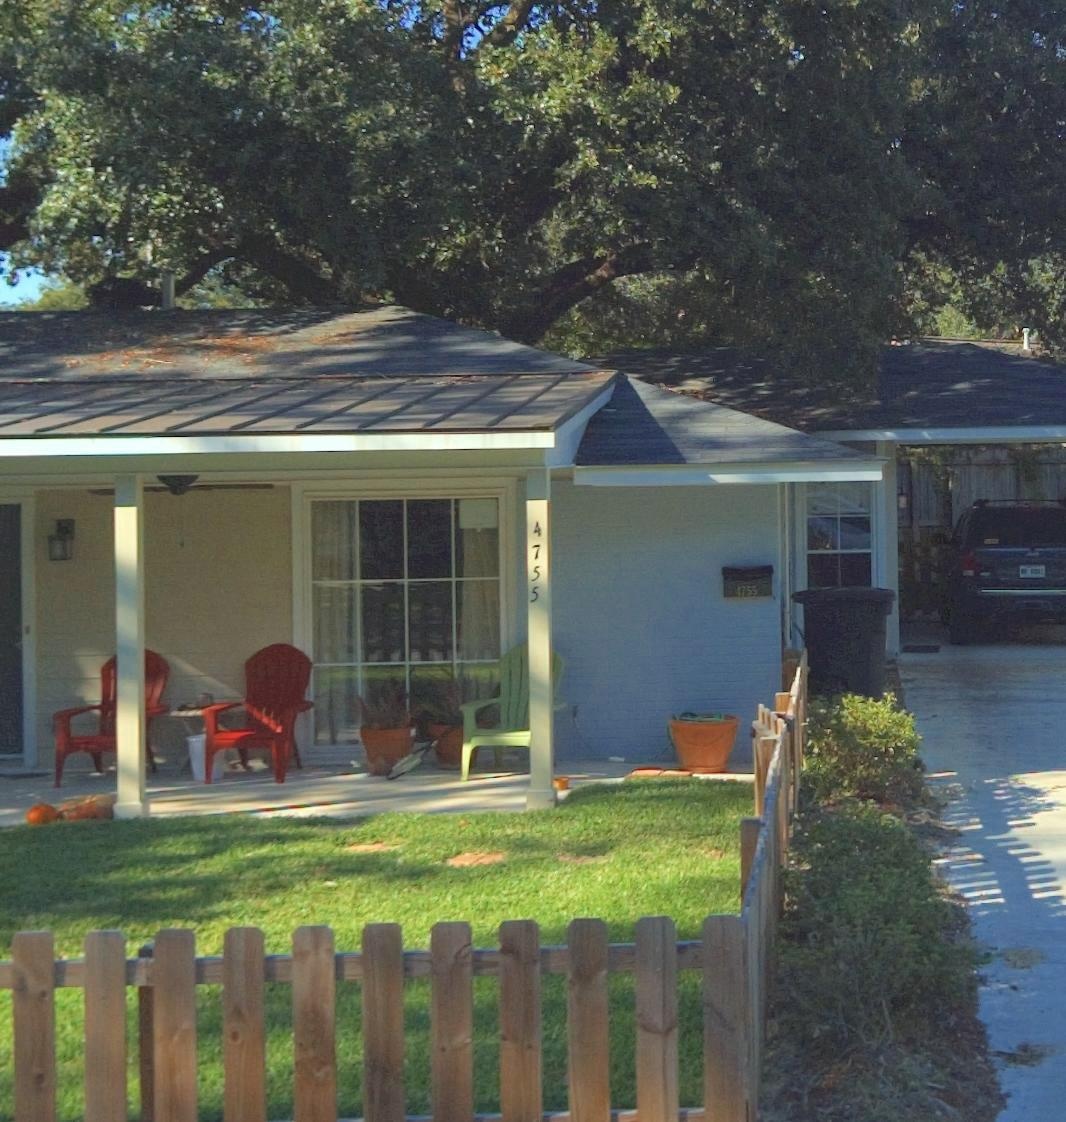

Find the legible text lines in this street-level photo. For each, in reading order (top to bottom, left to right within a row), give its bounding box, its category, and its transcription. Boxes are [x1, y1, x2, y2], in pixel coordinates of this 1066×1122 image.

[527, 518, 544, 607] StreetNumber: 4755
[732, 583, 761, 599] StreetNumber: *755